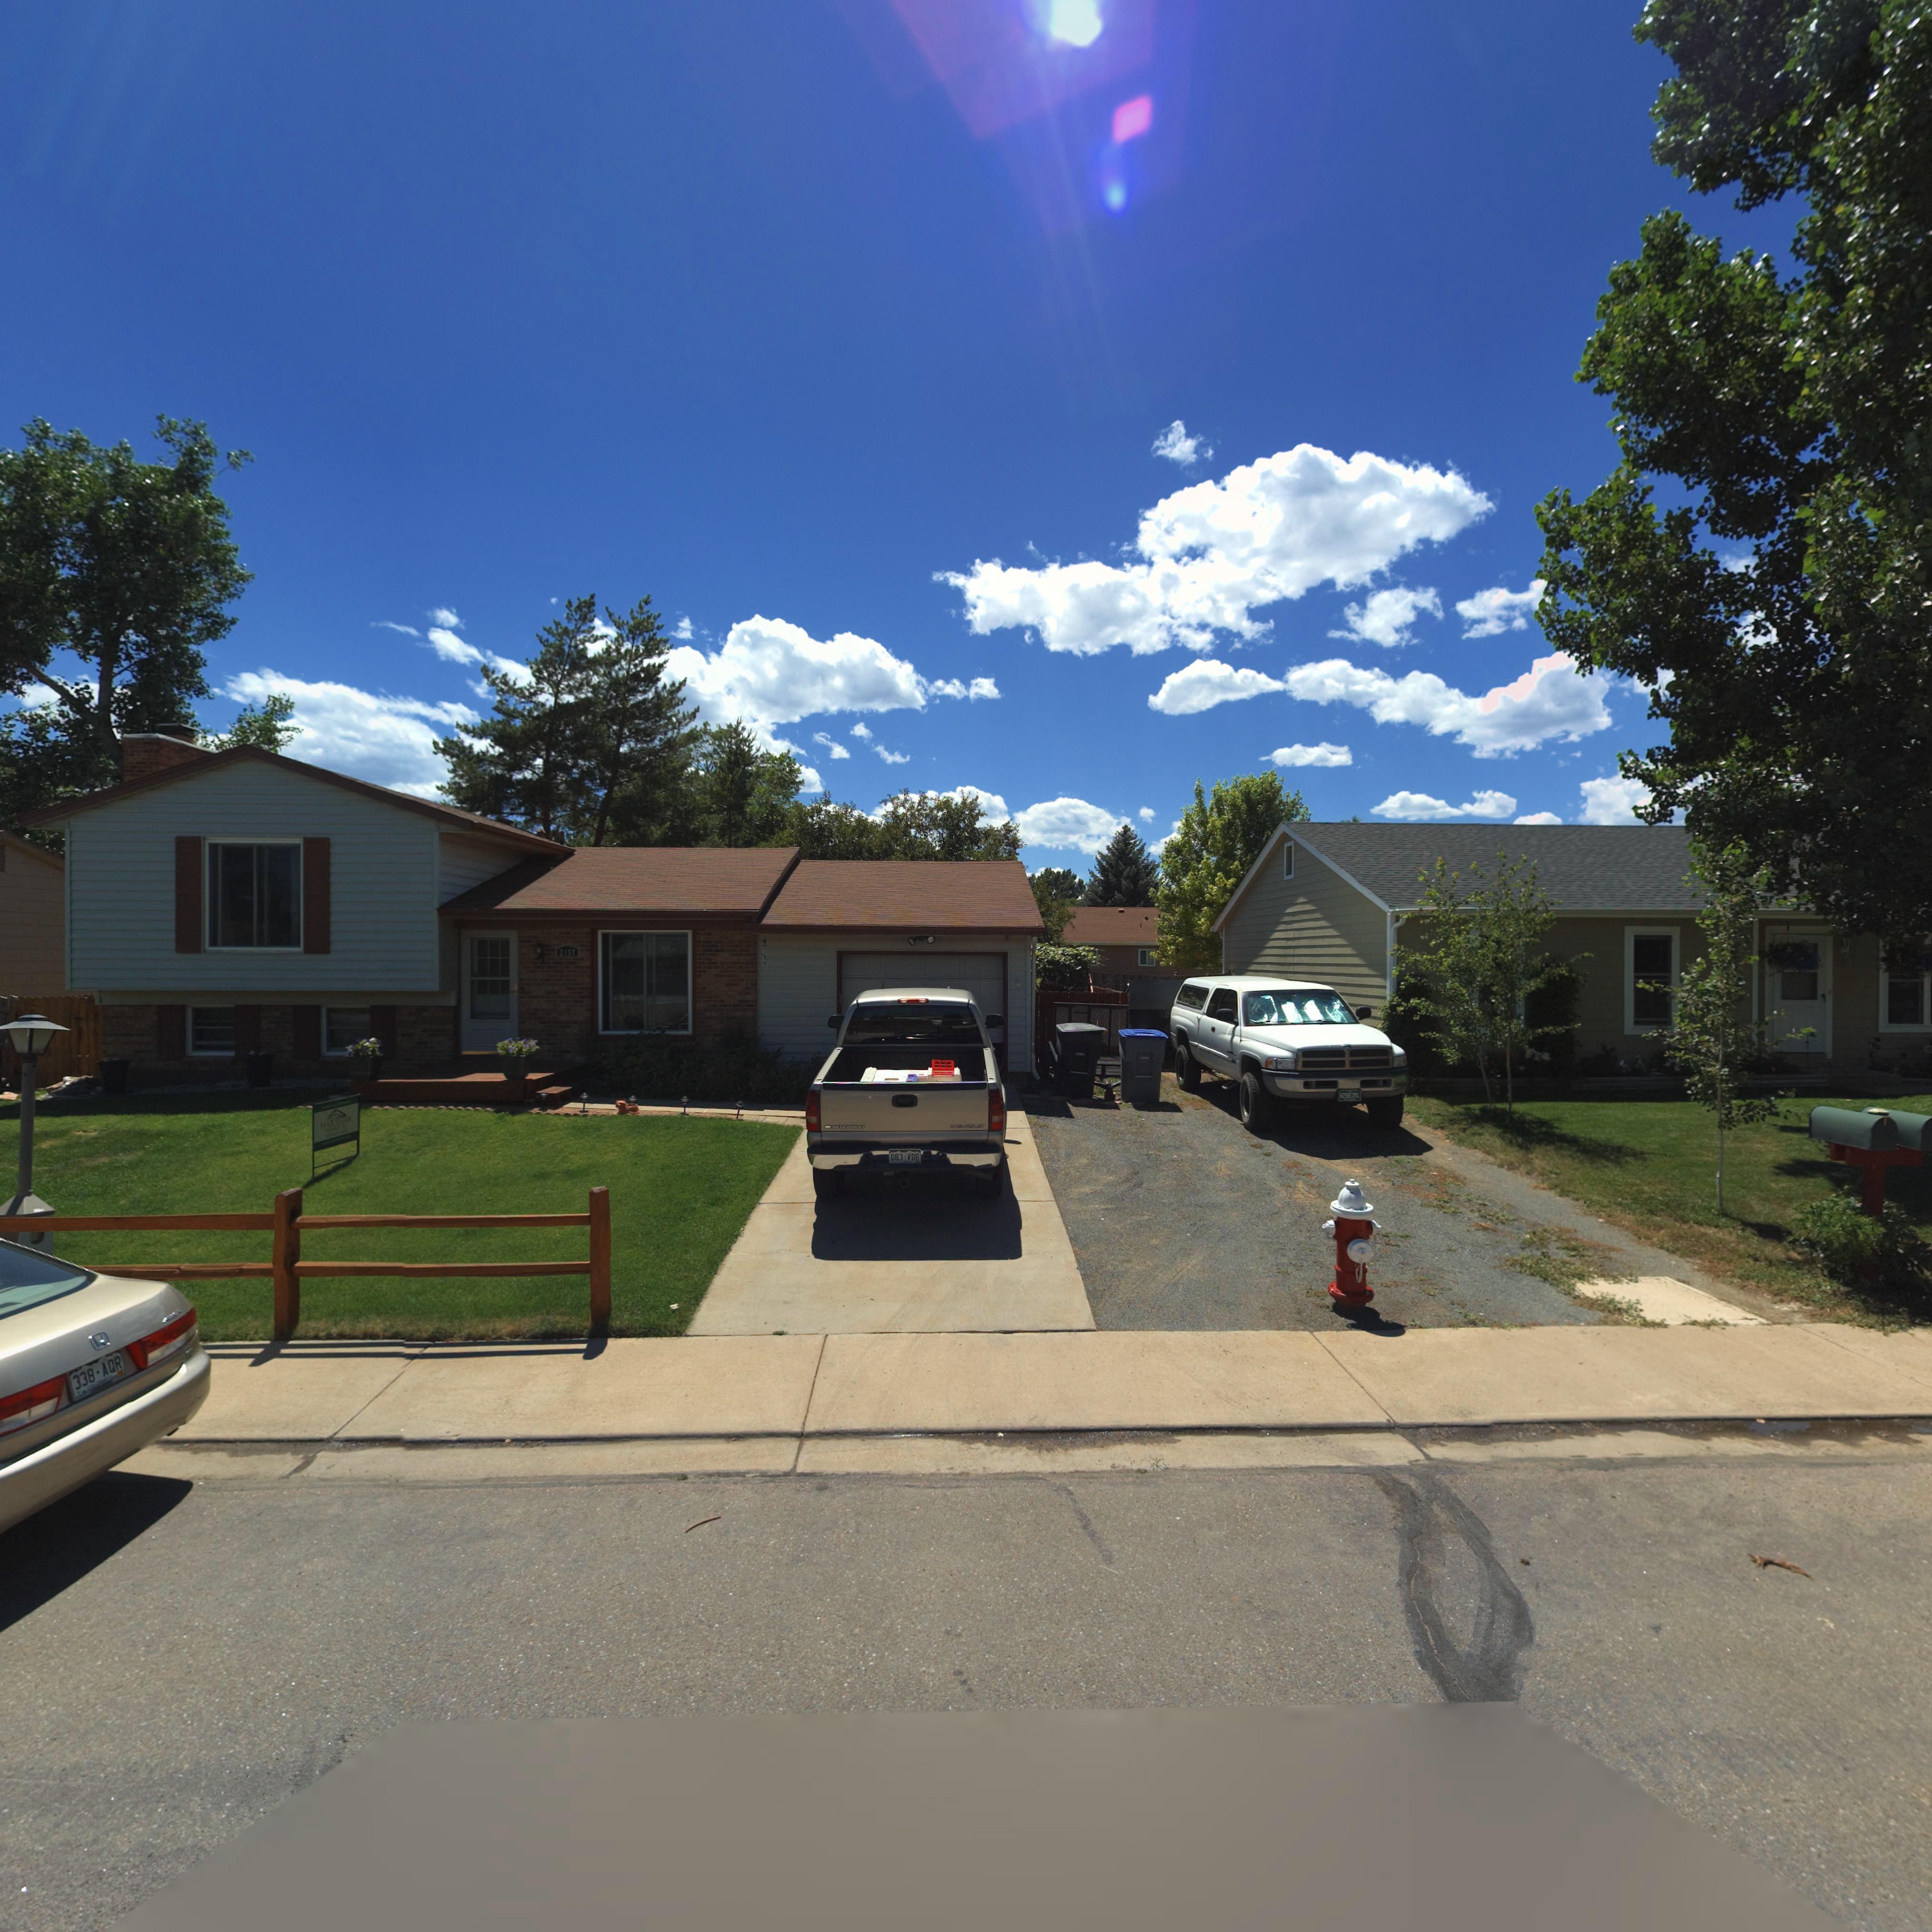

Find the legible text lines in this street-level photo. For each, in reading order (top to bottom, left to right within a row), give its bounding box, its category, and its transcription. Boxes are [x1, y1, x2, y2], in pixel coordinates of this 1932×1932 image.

[559, 949, 575, 956] StreetNumber: 2157